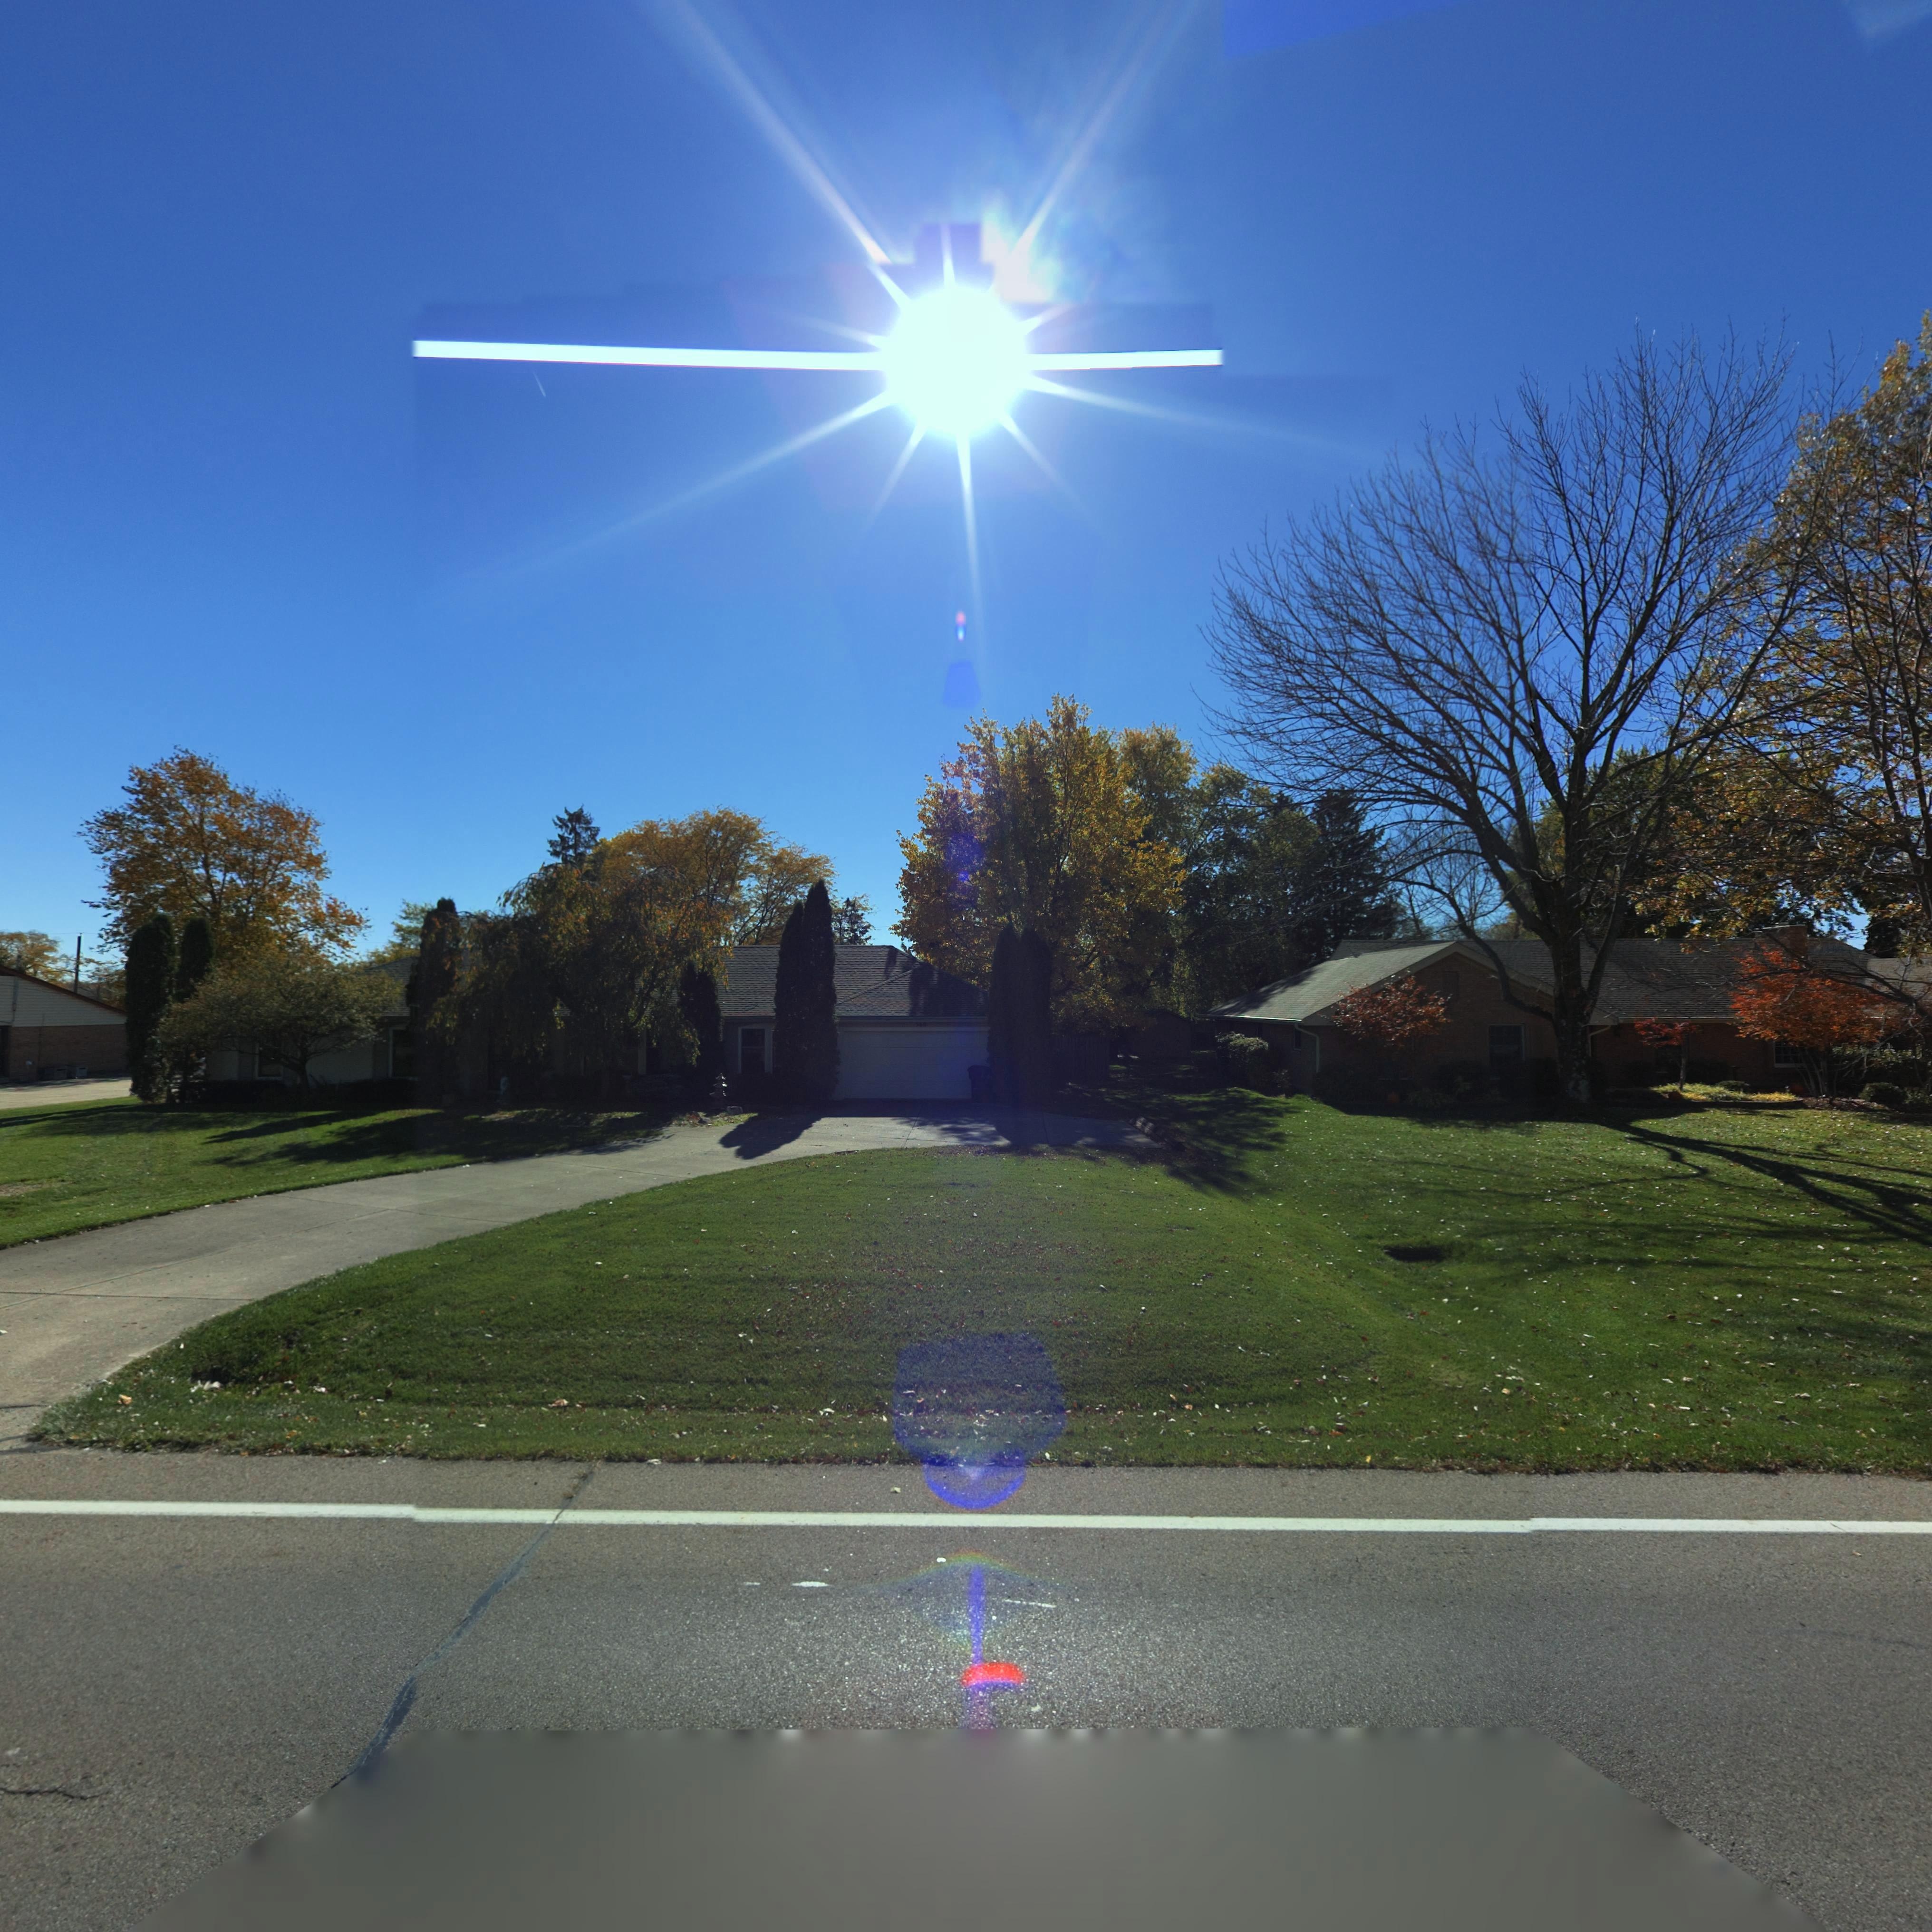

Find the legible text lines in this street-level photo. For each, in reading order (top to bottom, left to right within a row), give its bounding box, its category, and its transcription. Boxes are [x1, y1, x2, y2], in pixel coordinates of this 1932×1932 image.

[915, 1022, 927, 1027] StreetNumber: 568